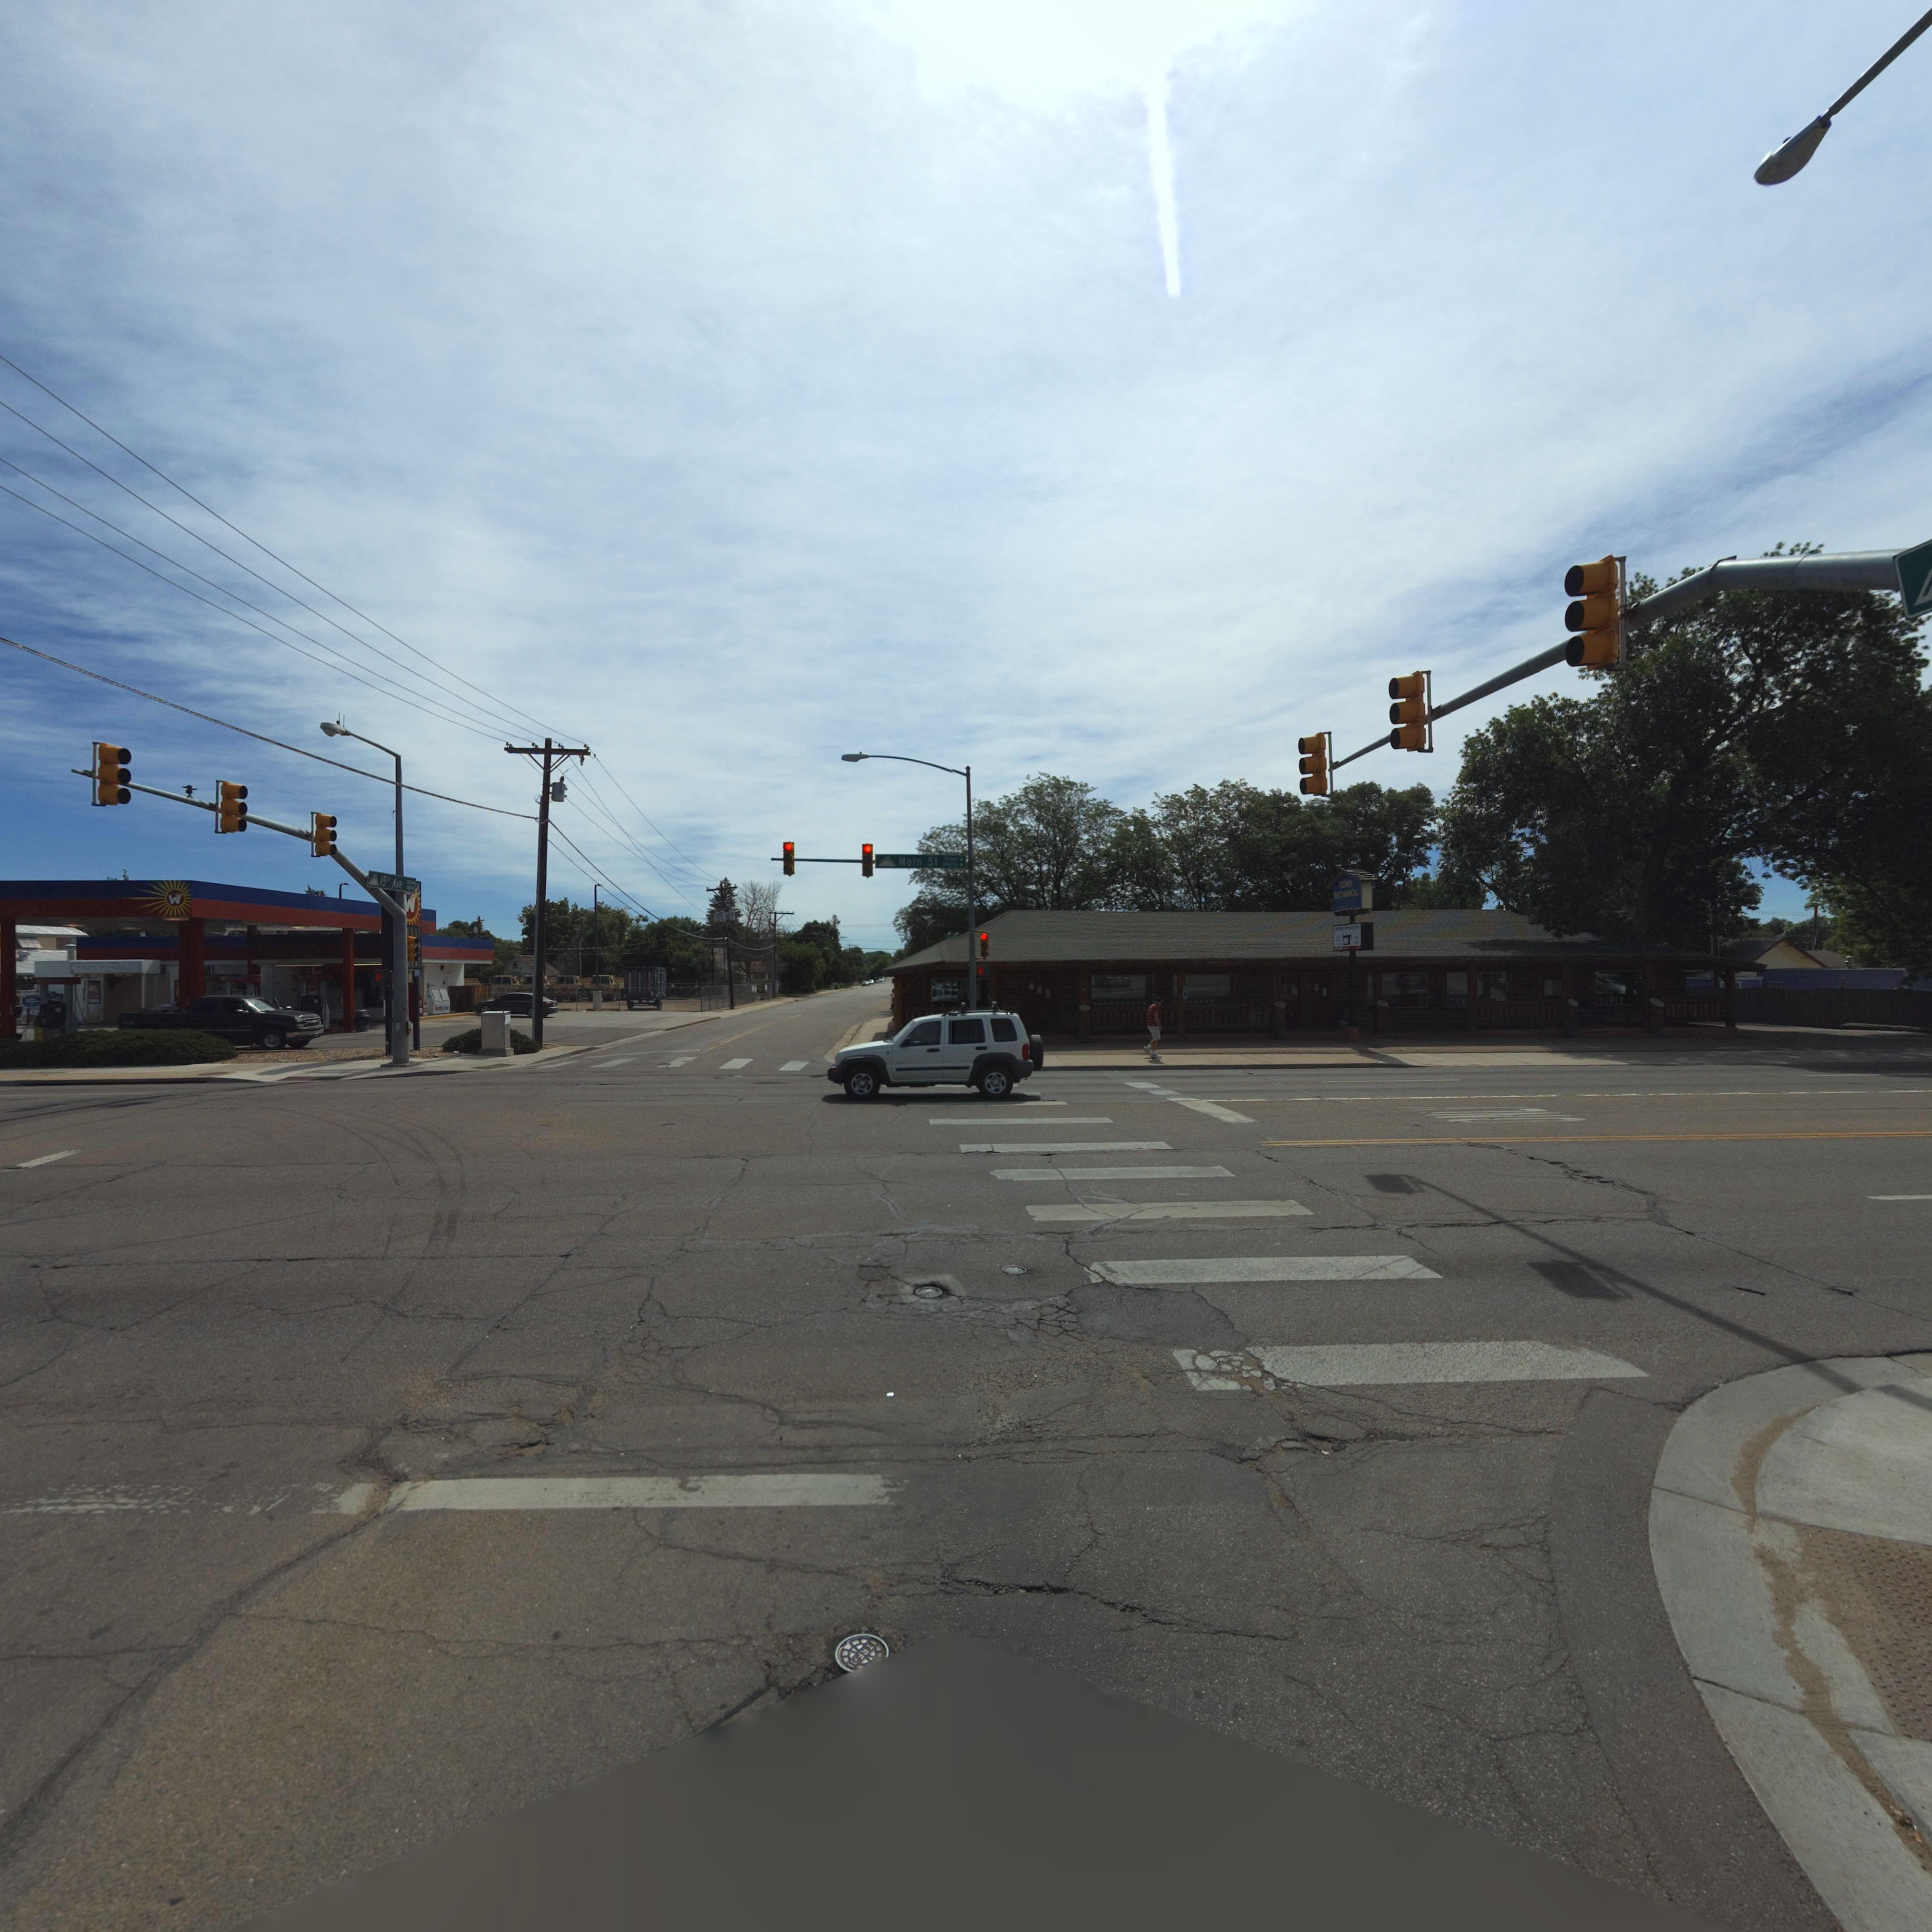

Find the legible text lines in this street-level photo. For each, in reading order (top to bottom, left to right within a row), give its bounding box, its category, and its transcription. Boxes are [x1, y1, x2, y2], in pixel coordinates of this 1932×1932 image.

[897, 856, 938, 867] StreetName: Main St
[943, 856, 958, 861] StreetNumberRange: 50000
[942, 862, 964, 867] StreetNumberRange: 140000->
[379, 874, 403, 889] StreetName: 15th Ave
[406, 879, 412, 884] StreetName: 1500
[406, 884, 414, 890] StreetNumberRange: 500->
[1338, 879, 1353, 889] BusinessName: OZARK
[1333, 888, 1360, 900] BusinessName: MECHANICAL
[168, 894, 181, 904] BusinessName: W
[403, 893, 415, 913] BusinessName: W